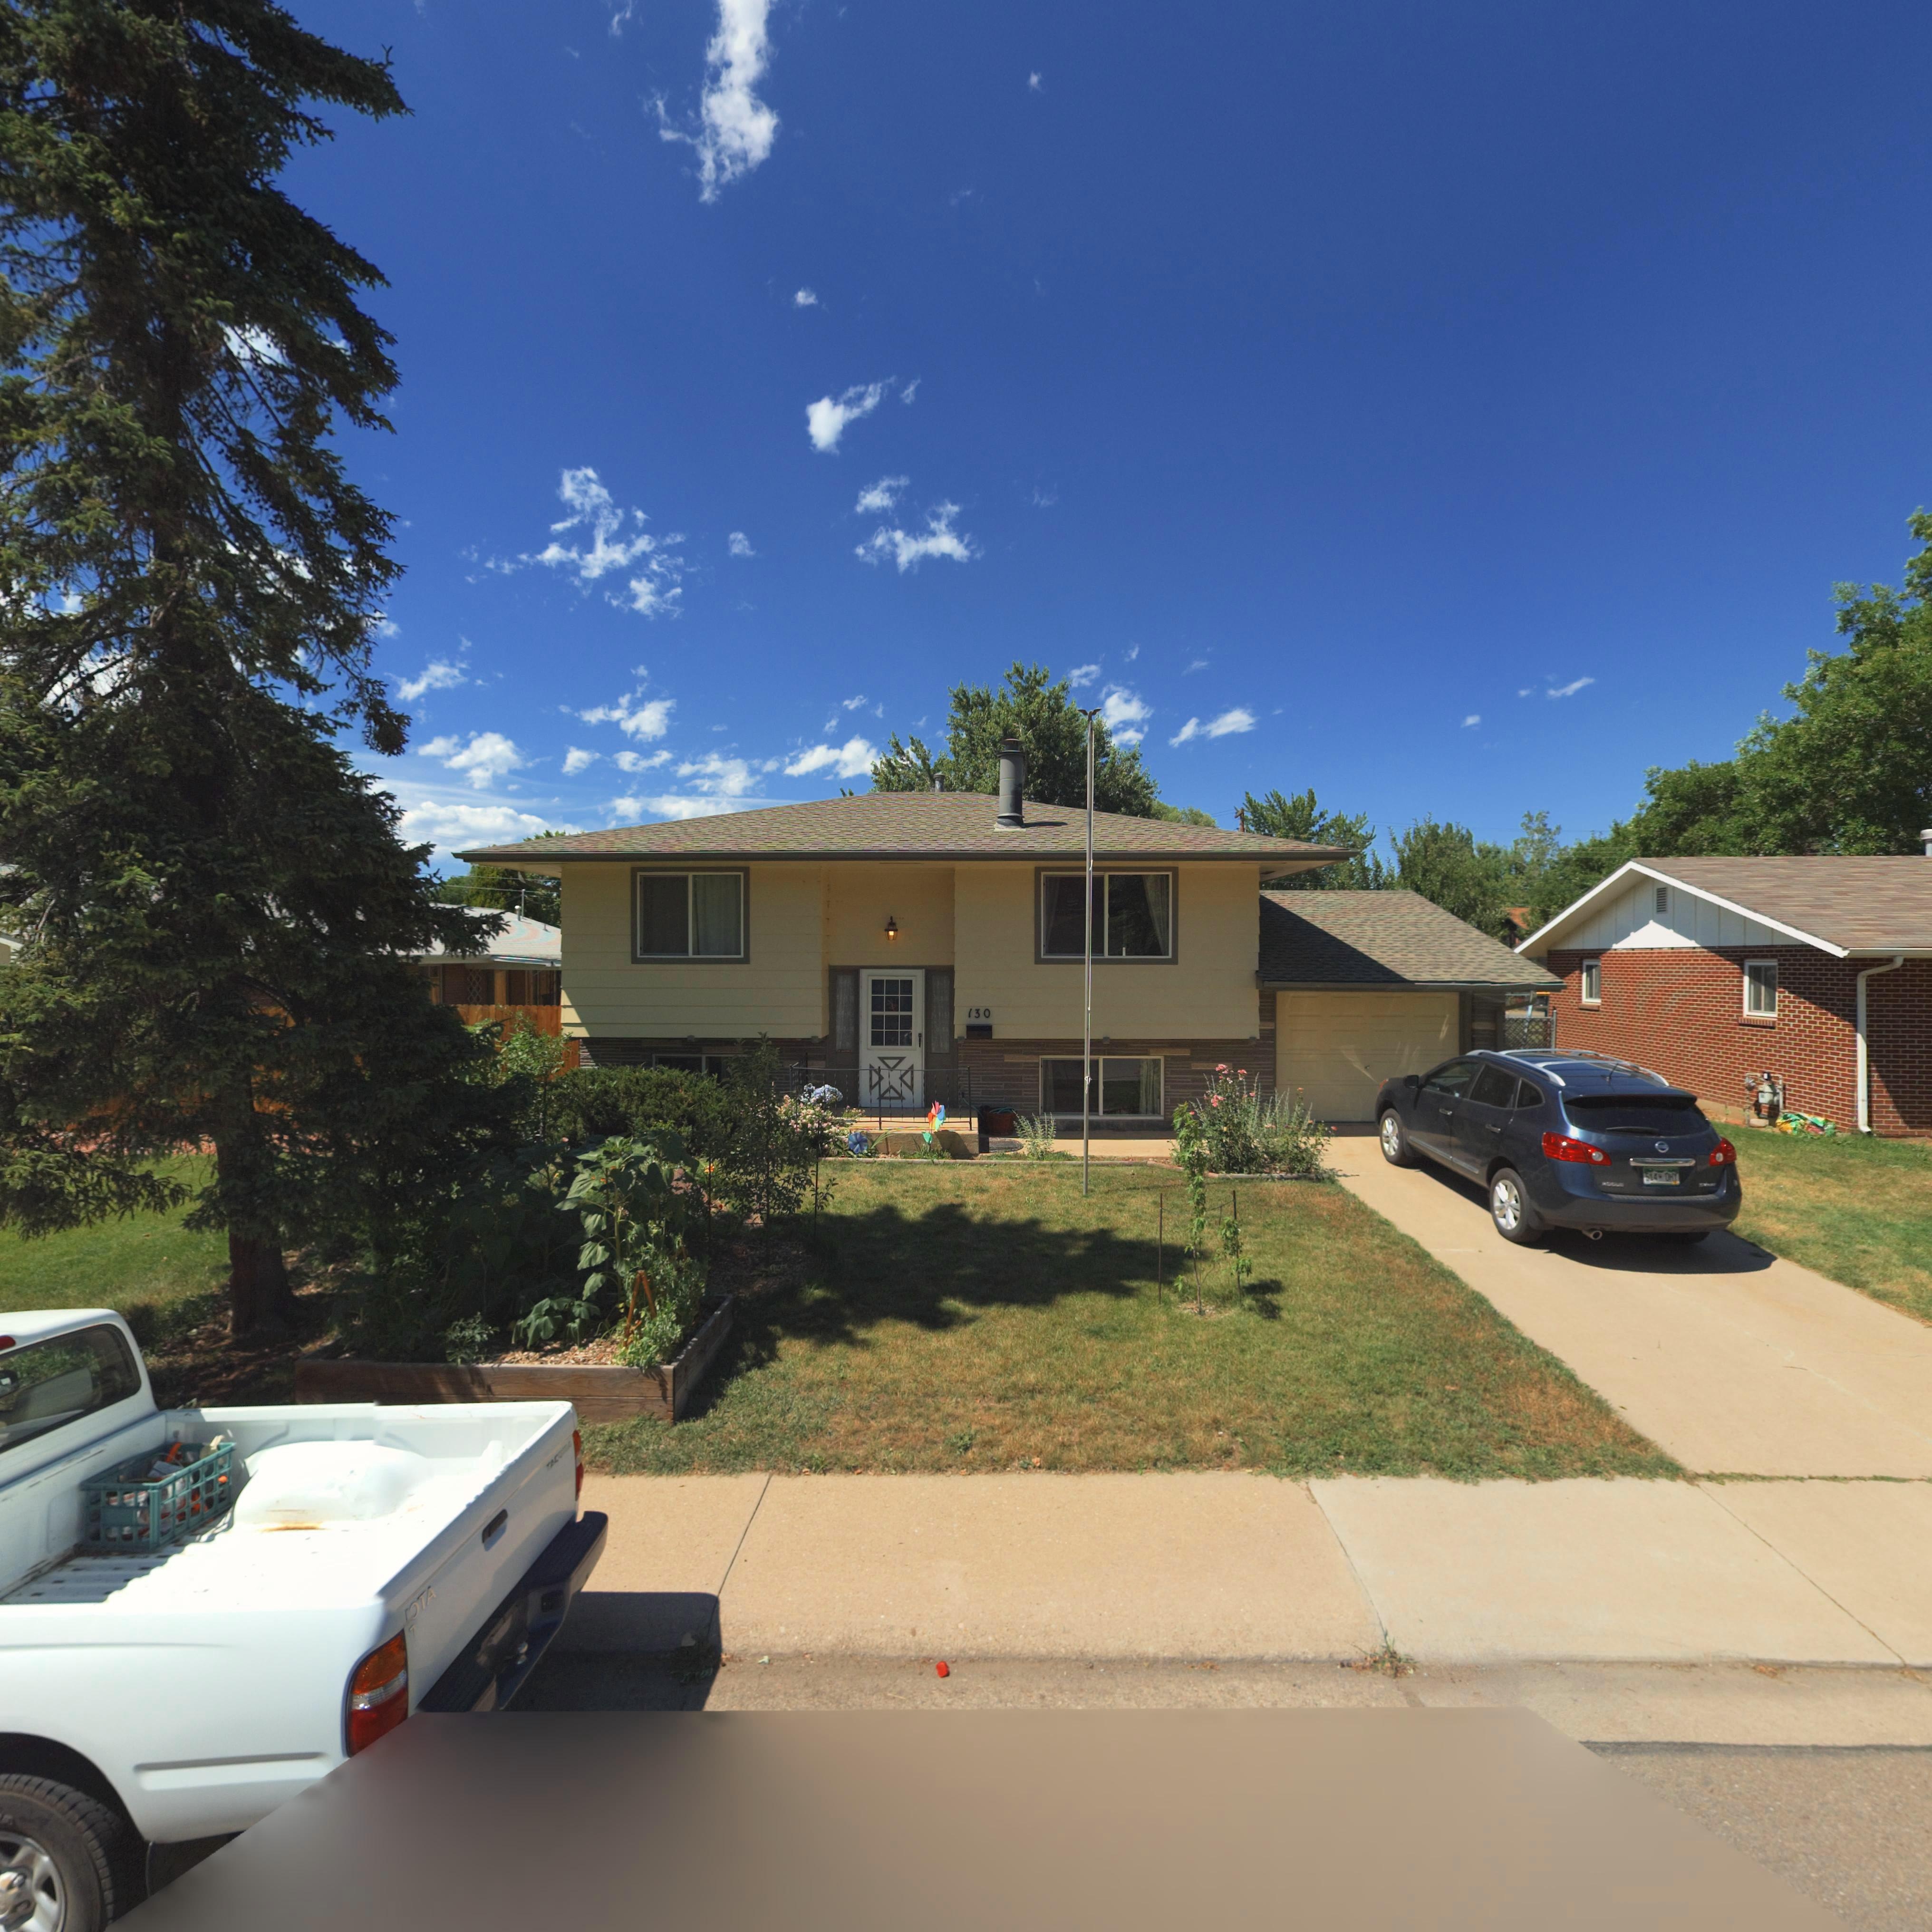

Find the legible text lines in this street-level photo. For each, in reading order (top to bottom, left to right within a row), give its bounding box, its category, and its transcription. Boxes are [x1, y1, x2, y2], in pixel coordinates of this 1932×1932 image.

[967, 1007, 991, 1018] StreetNumber: 130